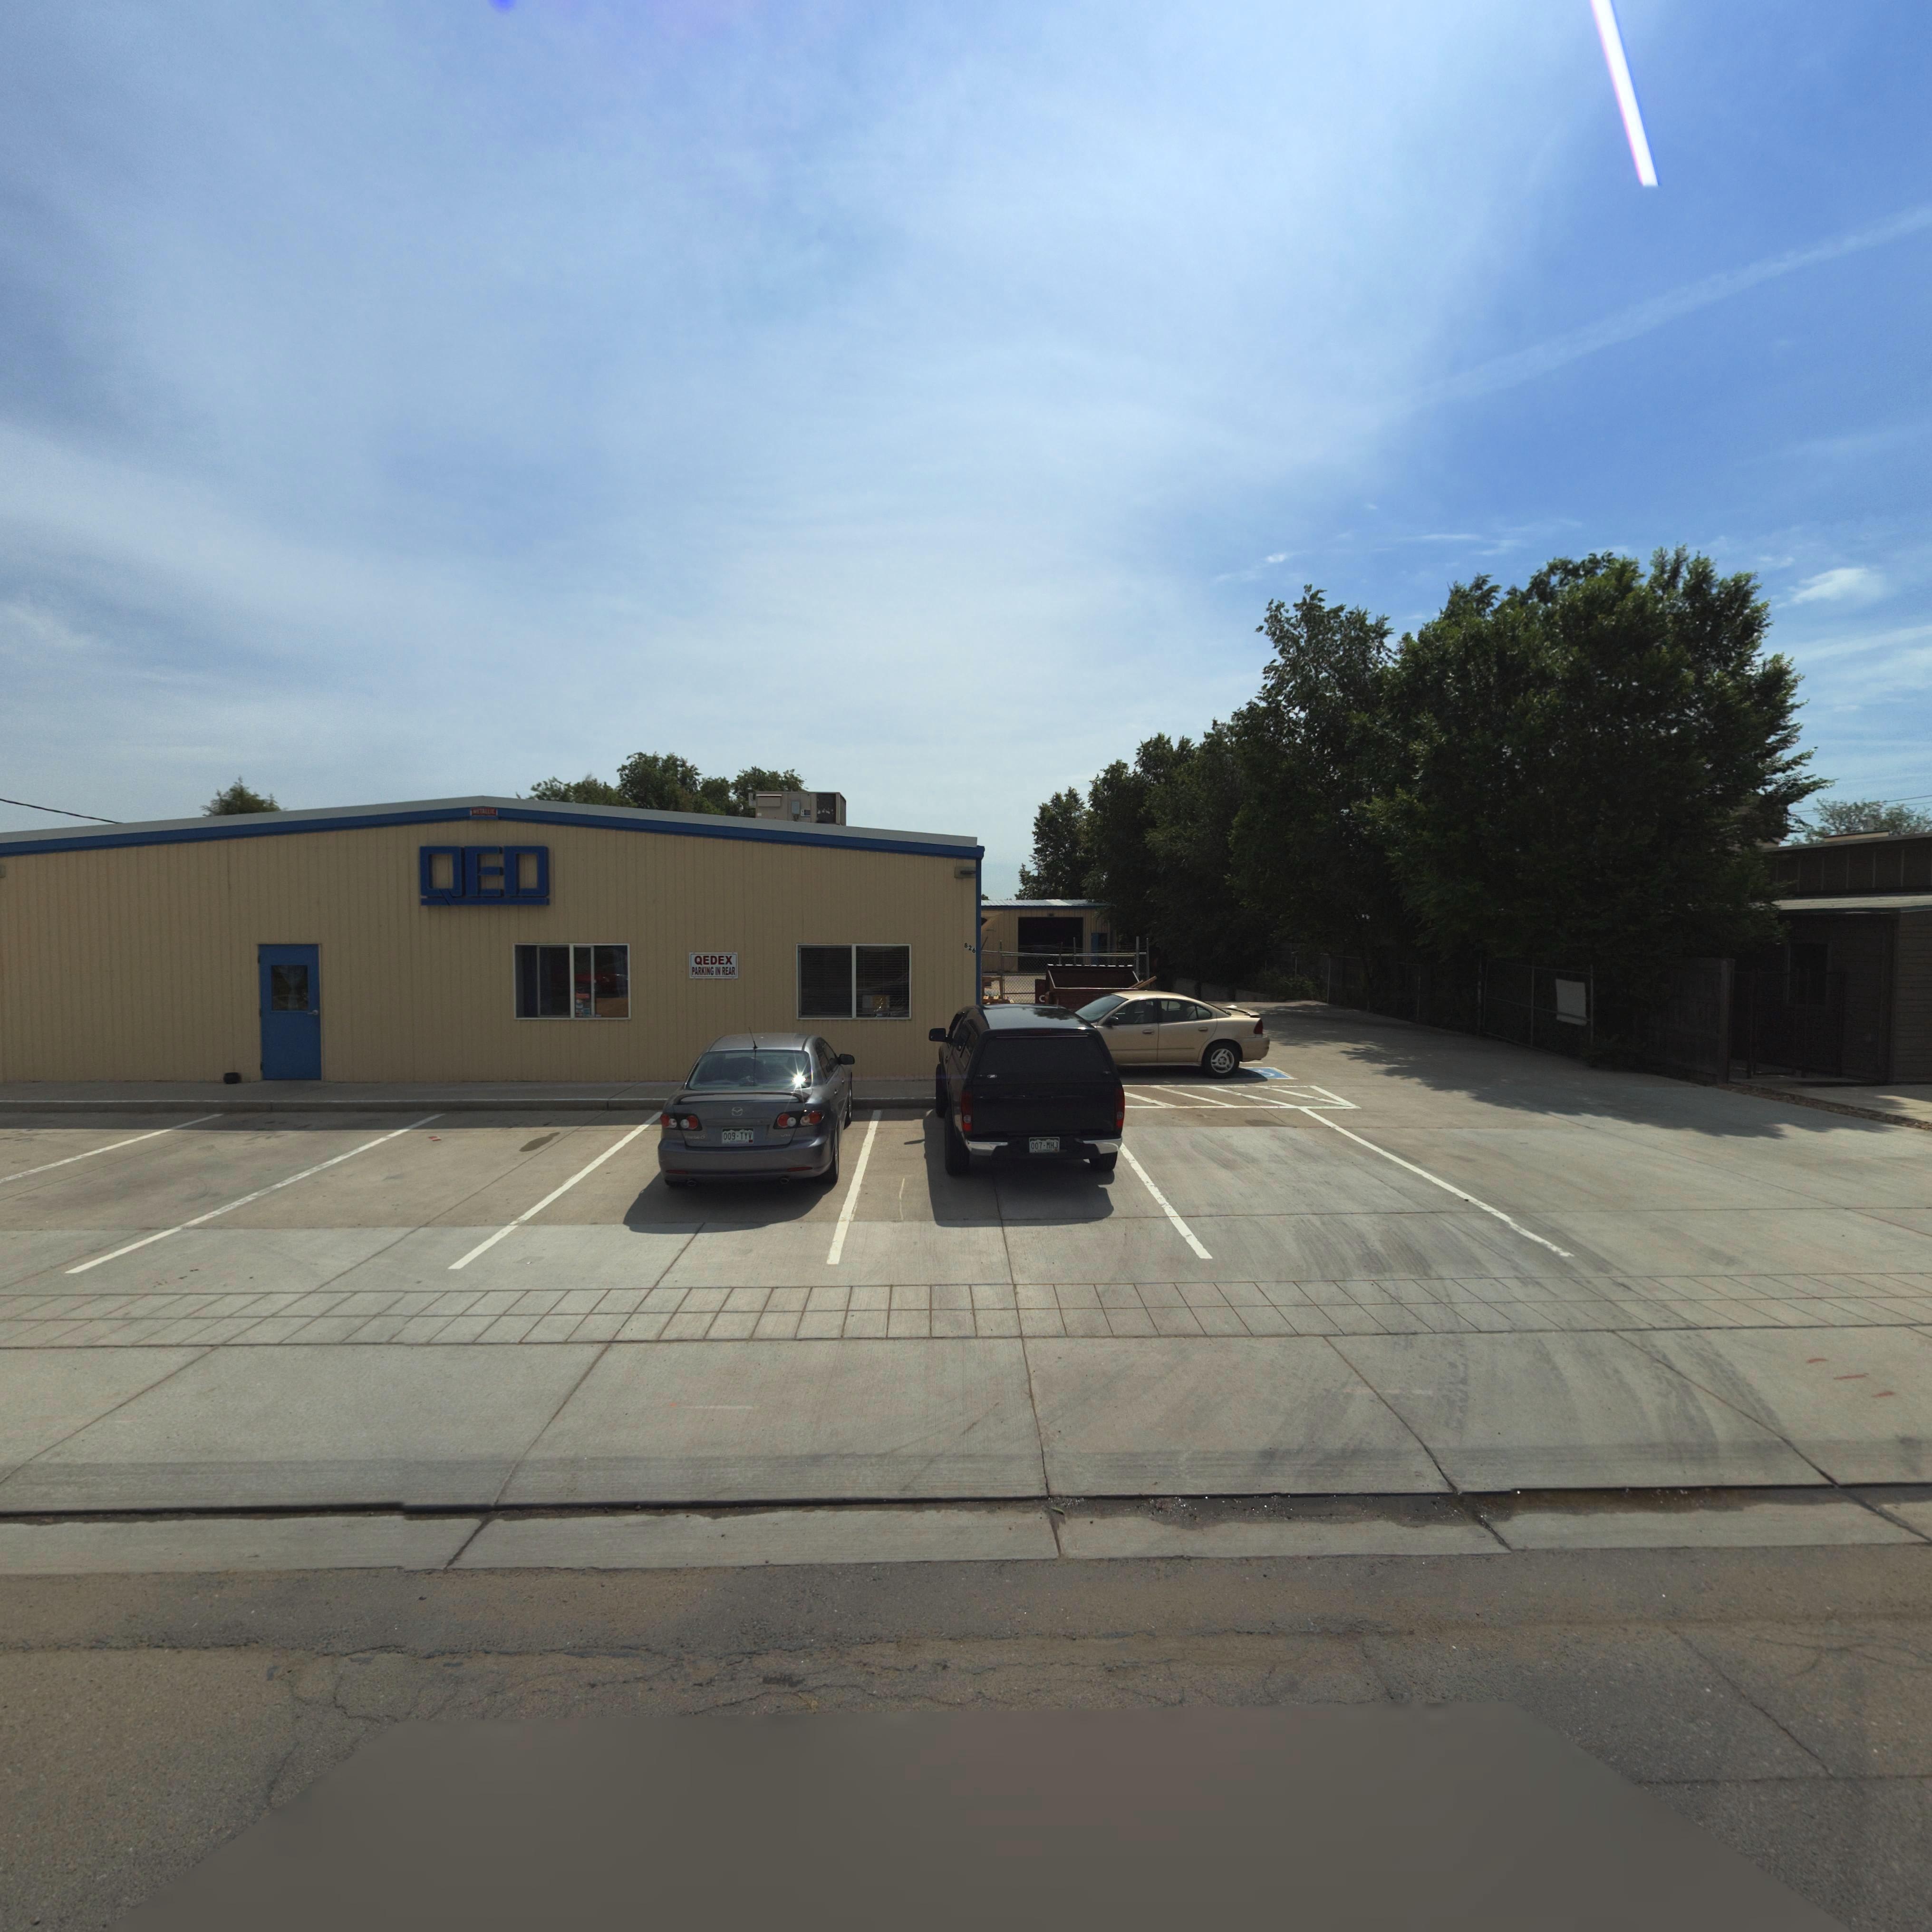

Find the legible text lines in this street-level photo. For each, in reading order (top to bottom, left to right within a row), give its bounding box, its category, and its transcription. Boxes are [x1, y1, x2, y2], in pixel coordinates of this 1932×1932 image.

[417, 844, 549, 906] BusinessName: QED
[963, 942, 976, 953] StreetNumber: 826
[694, 955, 733, 966] BusinessName: QEDEX